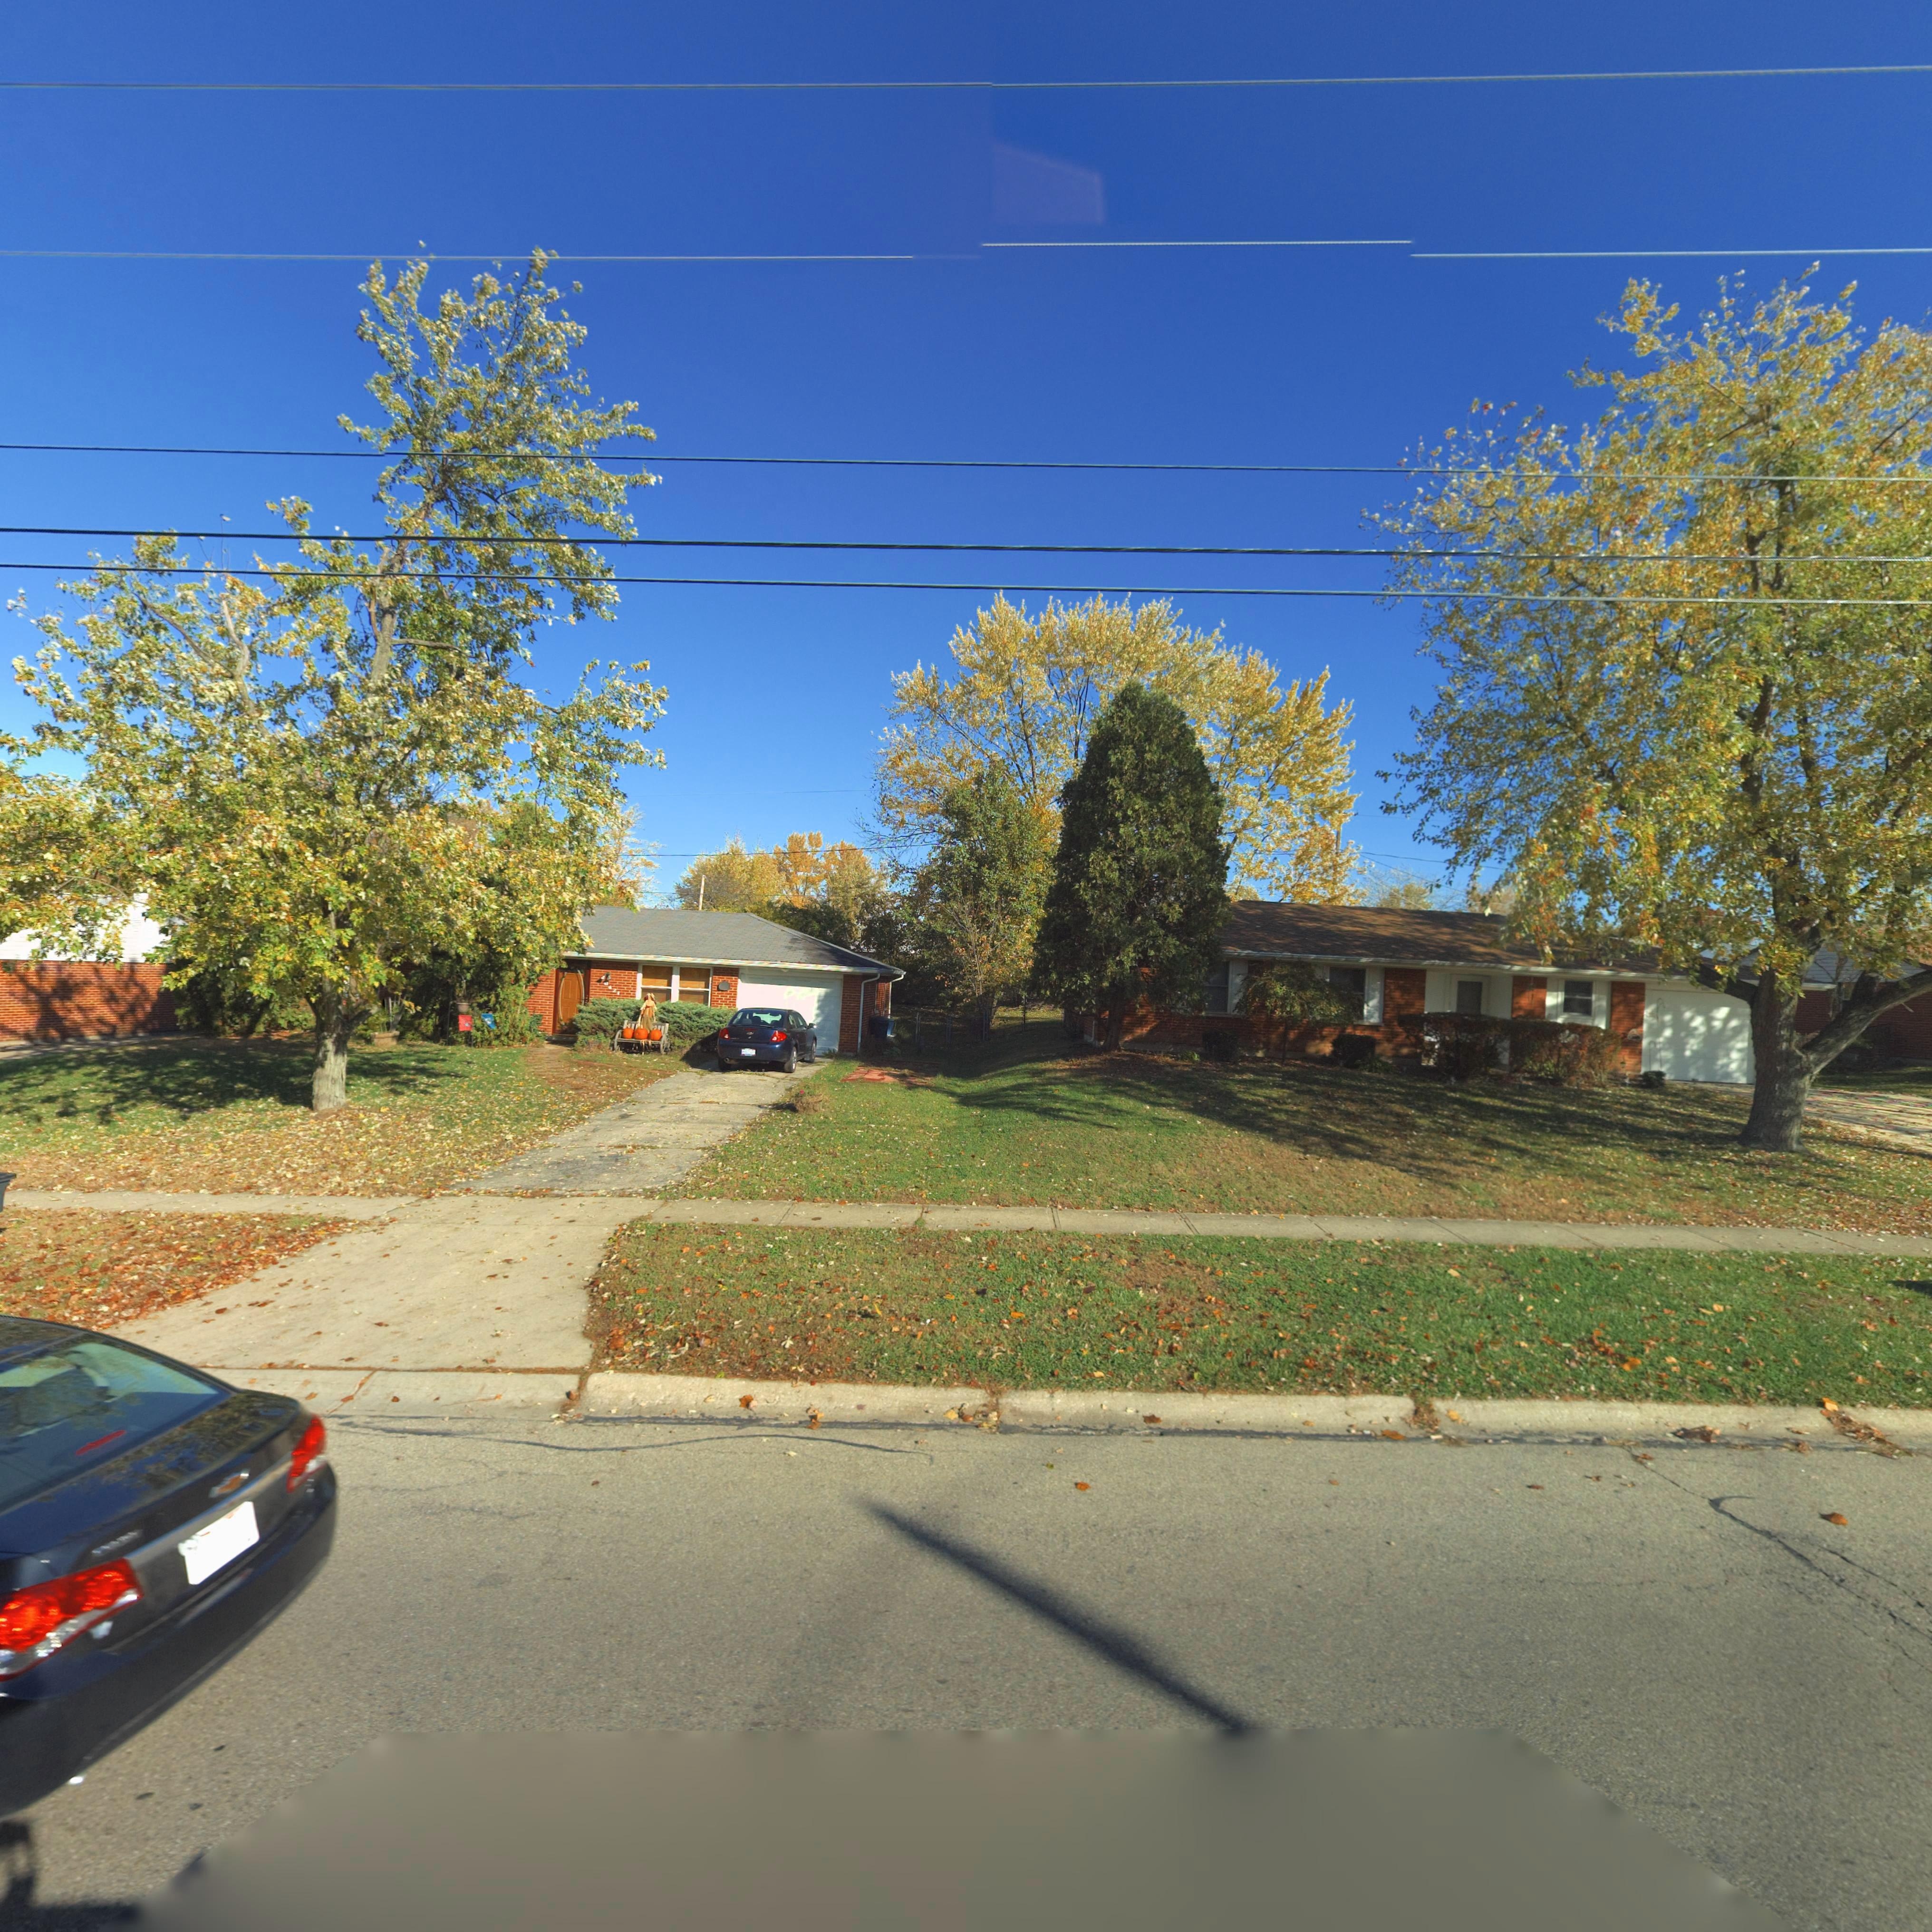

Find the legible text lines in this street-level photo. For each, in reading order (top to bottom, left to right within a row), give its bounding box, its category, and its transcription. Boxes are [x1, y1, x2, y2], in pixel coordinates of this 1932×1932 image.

[602, 979, 621, 997] StreetNumber: *421